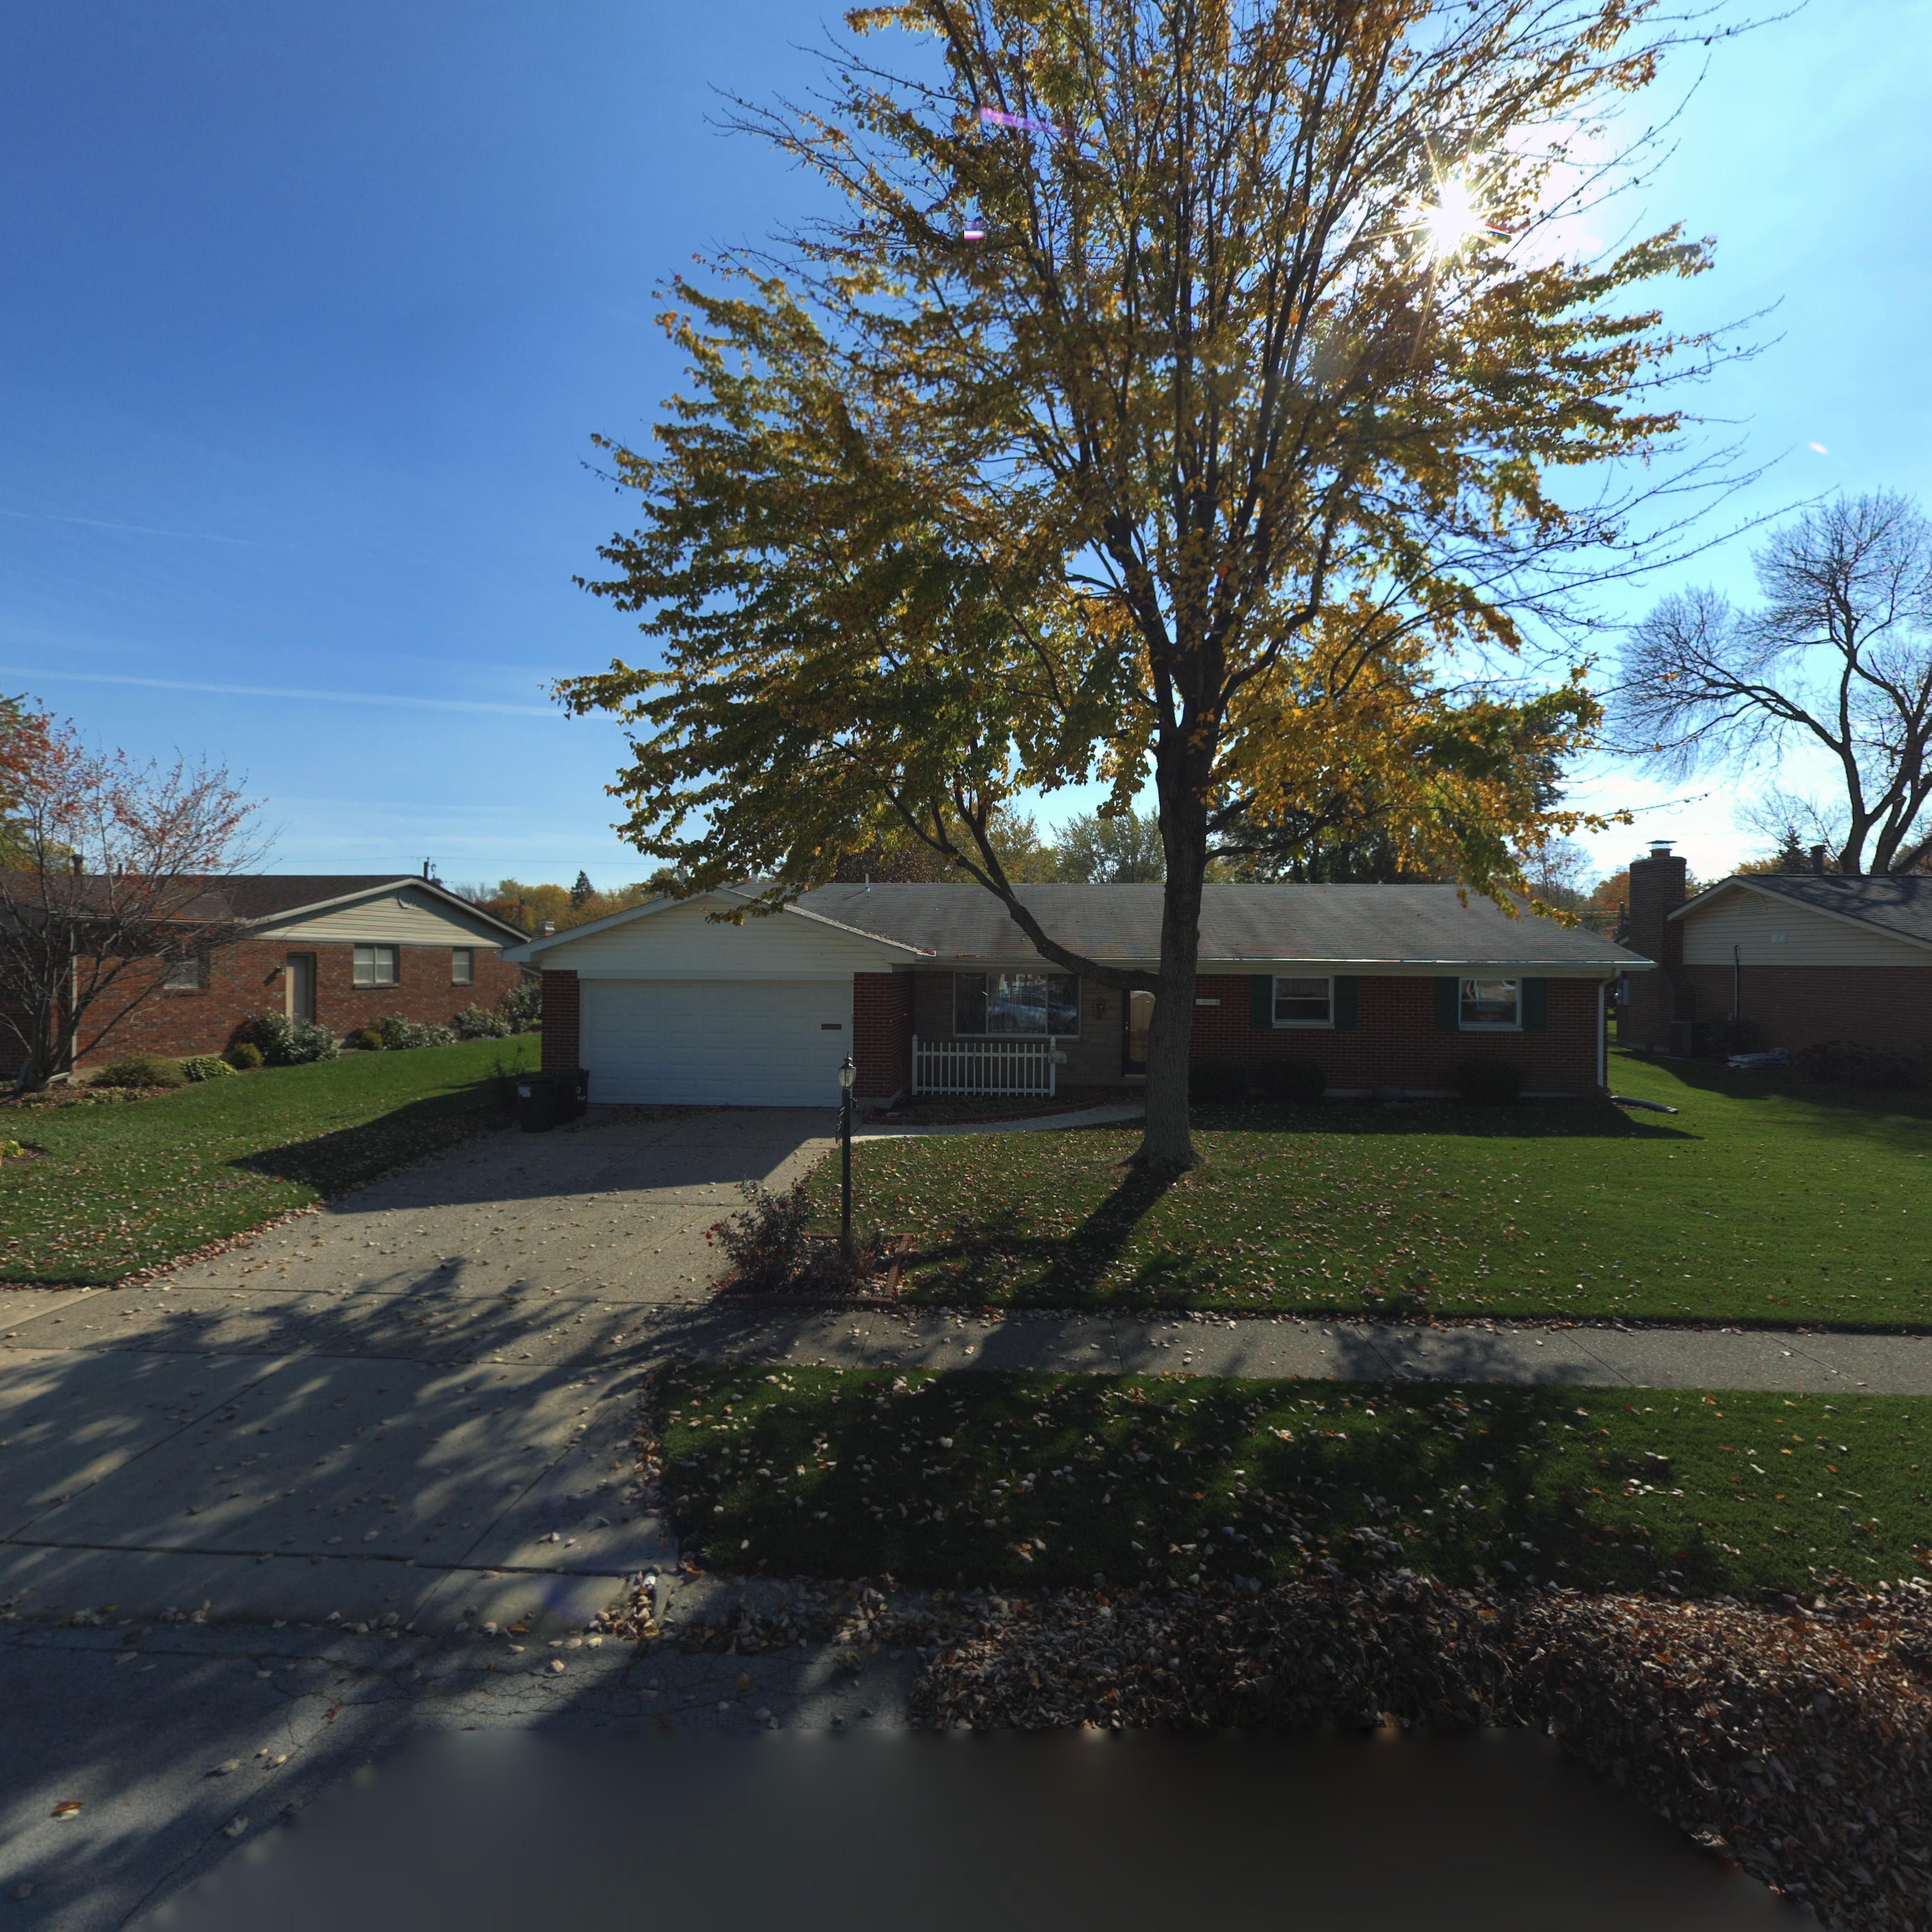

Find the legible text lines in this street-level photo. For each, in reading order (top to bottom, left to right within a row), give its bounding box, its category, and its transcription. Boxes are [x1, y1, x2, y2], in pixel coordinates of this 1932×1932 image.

[1197, 1000, 1219, 1005] StreetNumber: 1018